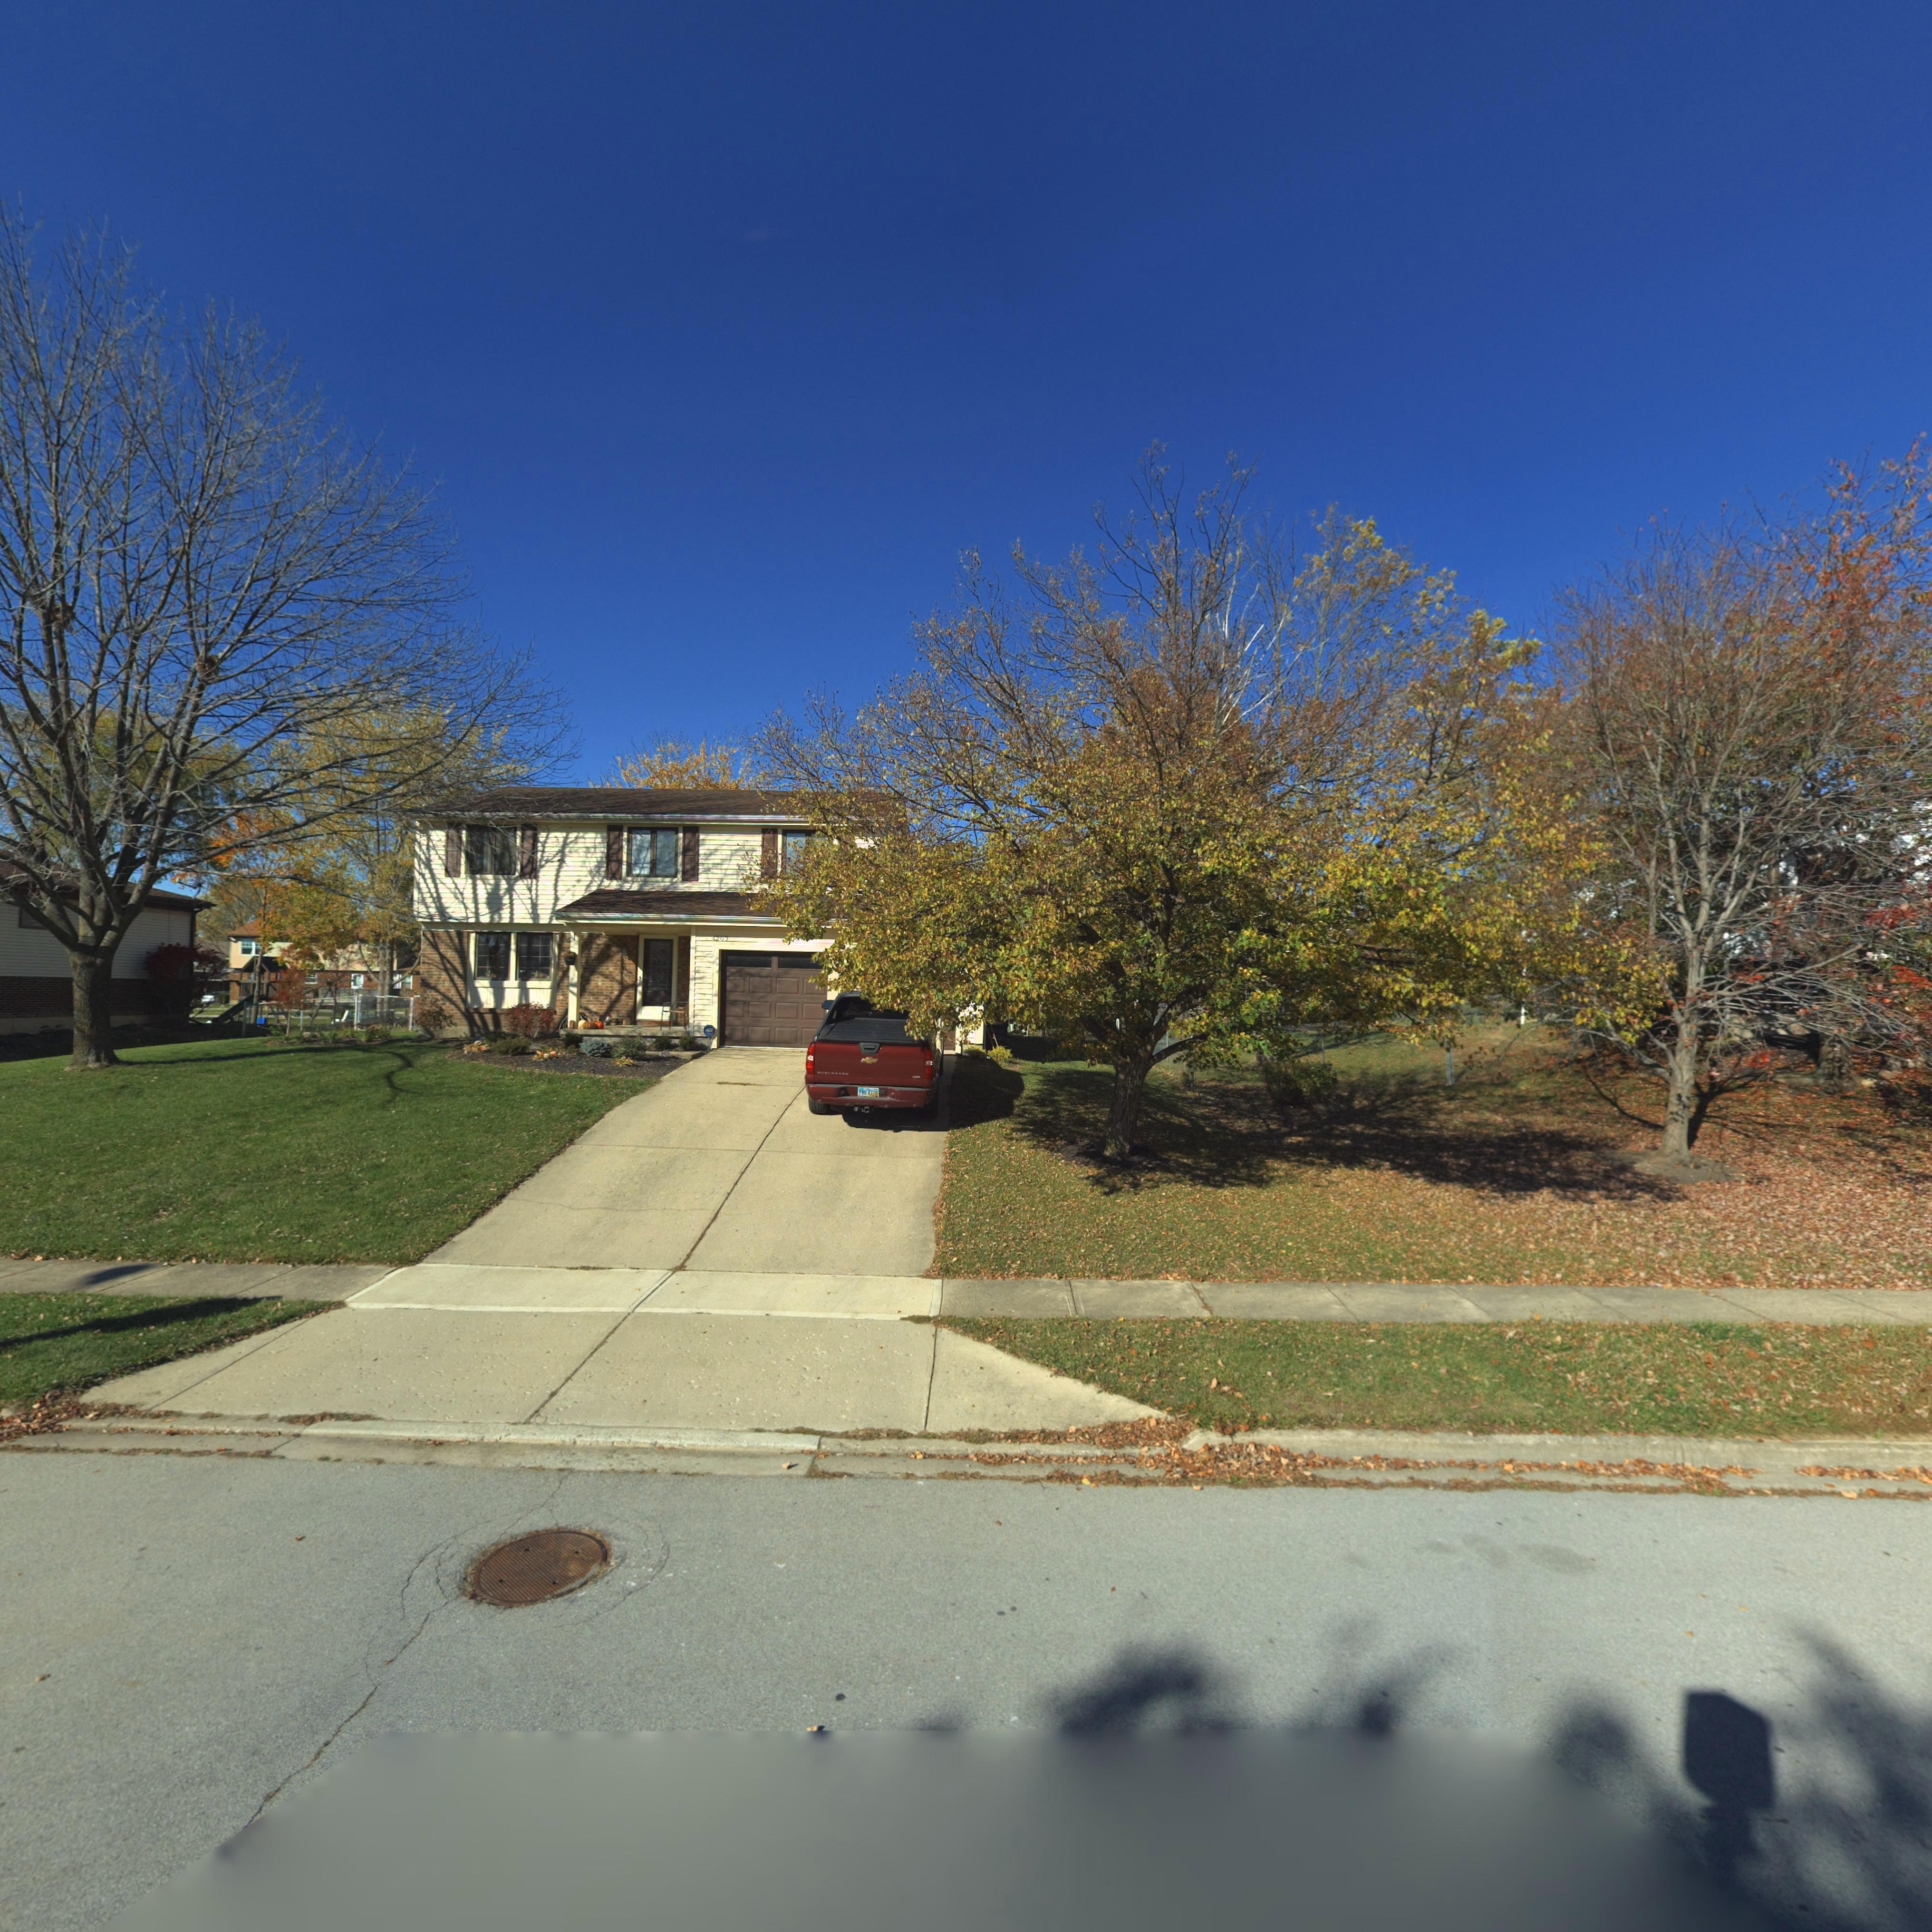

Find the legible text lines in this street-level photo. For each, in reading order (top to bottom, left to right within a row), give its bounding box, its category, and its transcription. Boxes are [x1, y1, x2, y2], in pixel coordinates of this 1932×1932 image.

[711, 935, 729, 942] StreetNumber: 4203
[816, 1071, 850, 1076] None: AVALANCHE
[858, 1089, 878, 1096] None: FMH*4728